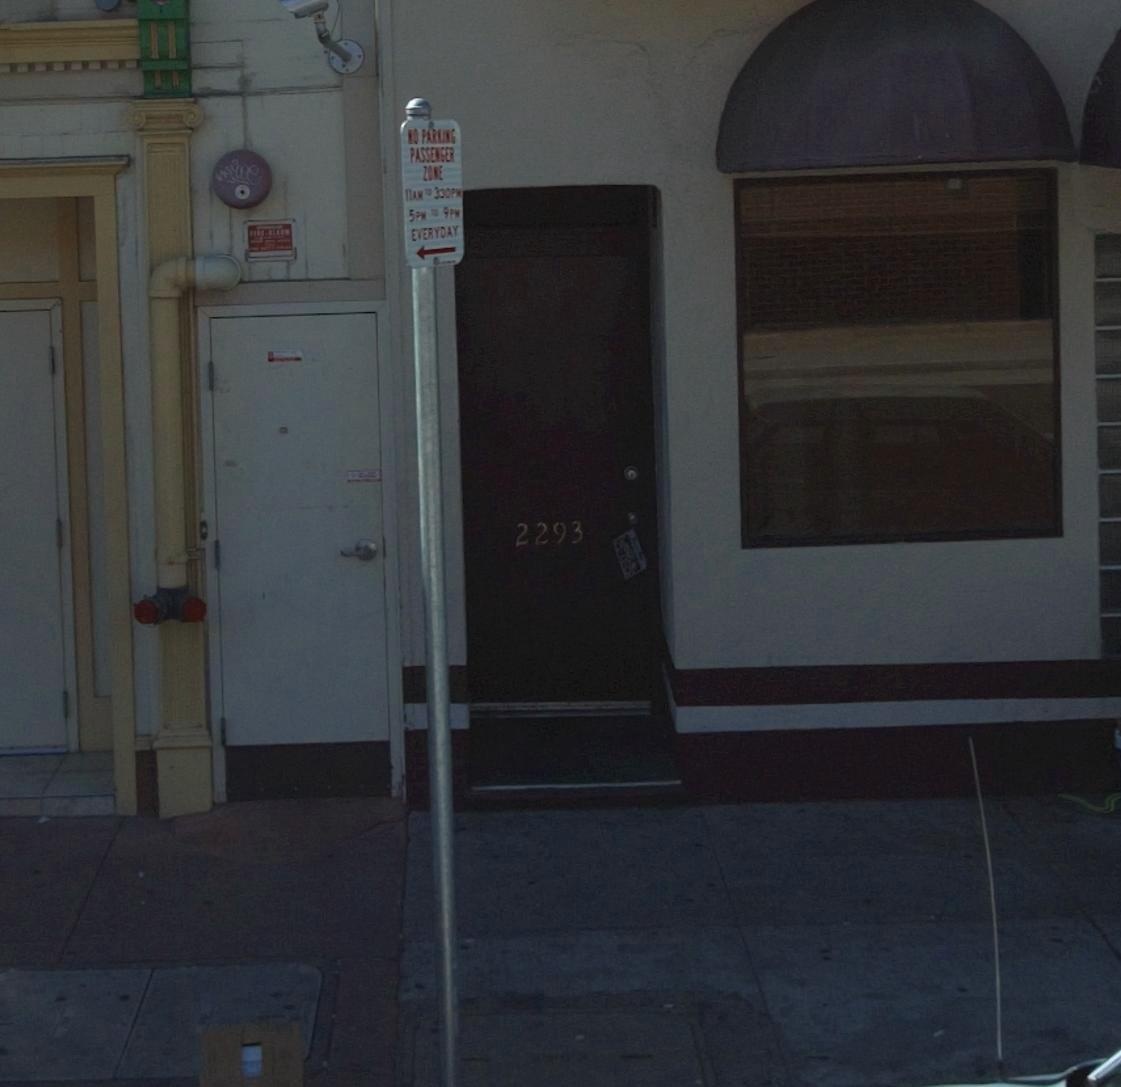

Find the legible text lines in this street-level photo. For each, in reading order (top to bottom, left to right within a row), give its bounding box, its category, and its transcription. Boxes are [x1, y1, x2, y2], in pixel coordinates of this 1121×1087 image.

[406, 126, 457, 146] None: NO PARKING
[408, 146, 457, 165] None: PASSENGER
[422, 164, 444, 183] None: ZONE
[403, 184, 463, 203] None: 11AM TO 330PM
[406, 204, 461, 225] None: 5PM TO 9PM
[410, 223, 460, 244] None: EVERYDAY
[512, 520, 585, 548] StreetNumber: 2293